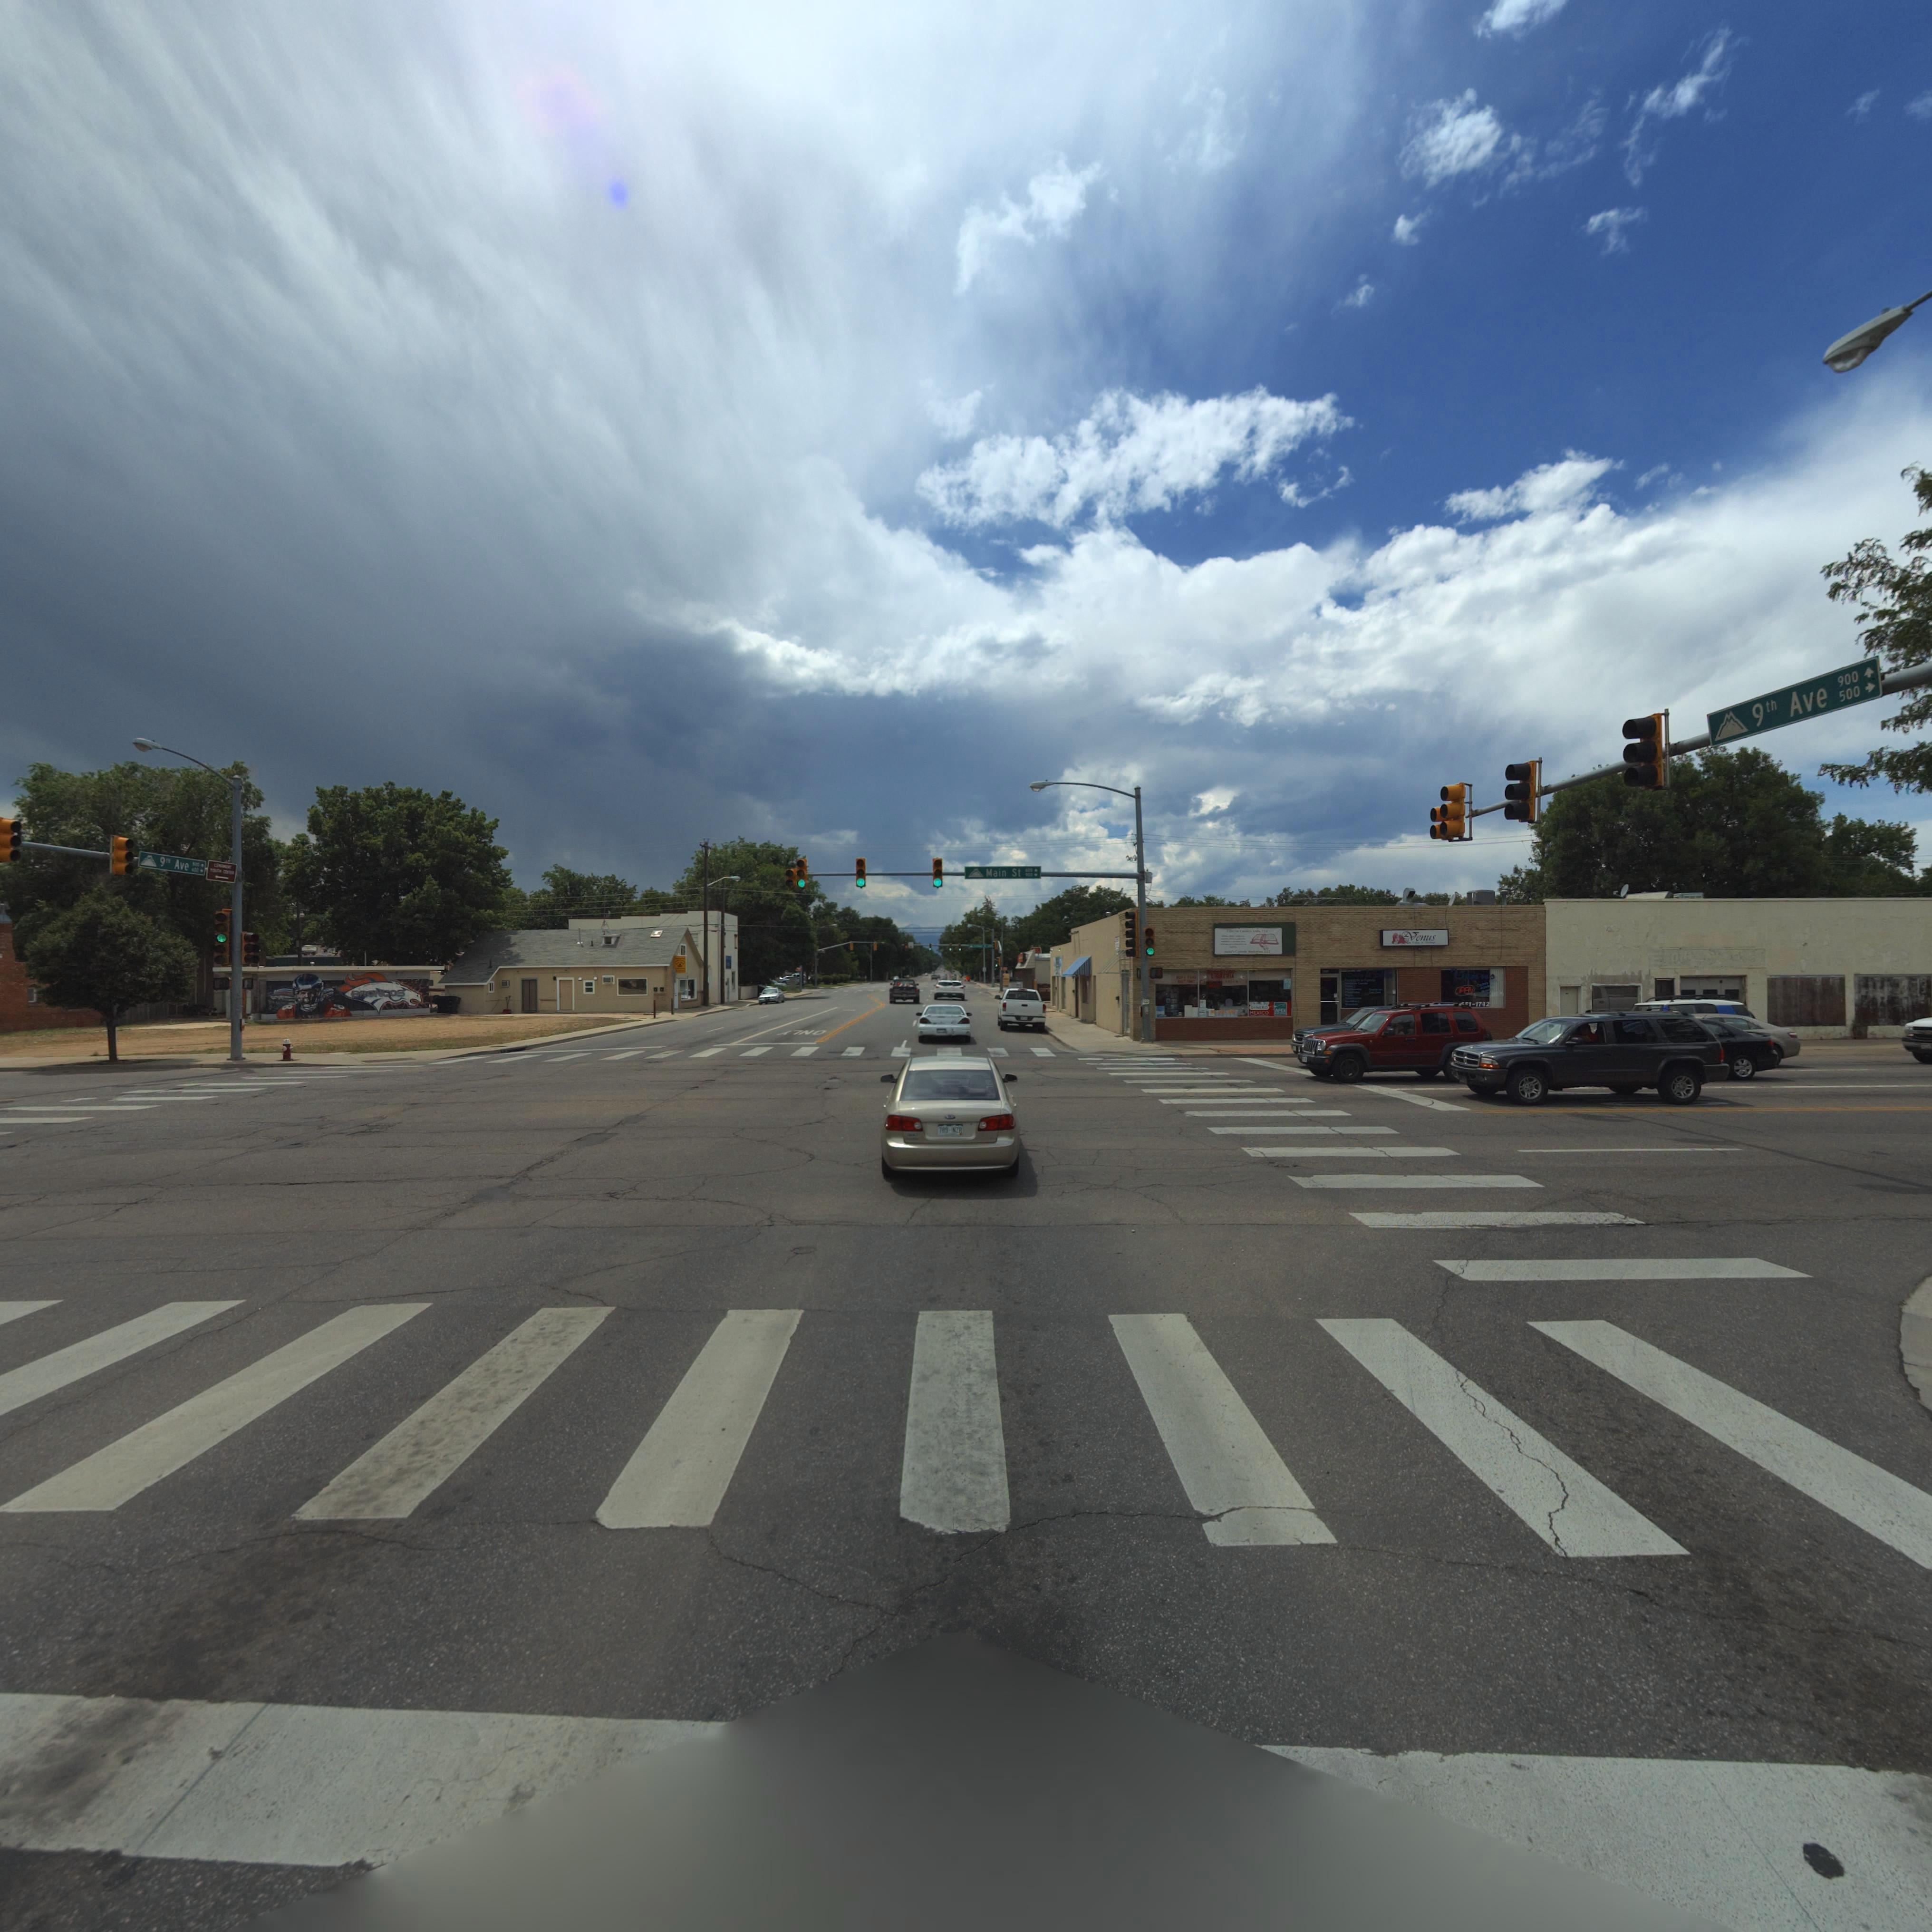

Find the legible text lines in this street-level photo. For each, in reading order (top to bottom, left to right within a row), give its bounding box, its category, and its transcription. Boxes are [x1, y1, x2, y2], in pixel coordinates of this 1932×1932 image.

[1836, 670, 1859, 688] StreetNumberRange: 900
[1839, 680, 1876, 702] StreetNumberRange: 500 ->
[1750, 687, 1828, 728] StreetName: 9th Ave
[159, 856, 189, 871] StreetName: 9th Ave
[985, 869, 1020, 877] StreetName: Main St
[1025, 868, 1033, 872] StreetNumberRange: *00
[1025, 872, 1037, 877] StreetNumberRange: 900 ->
[1408, 932, 1436, 941] BusinessName: Venus